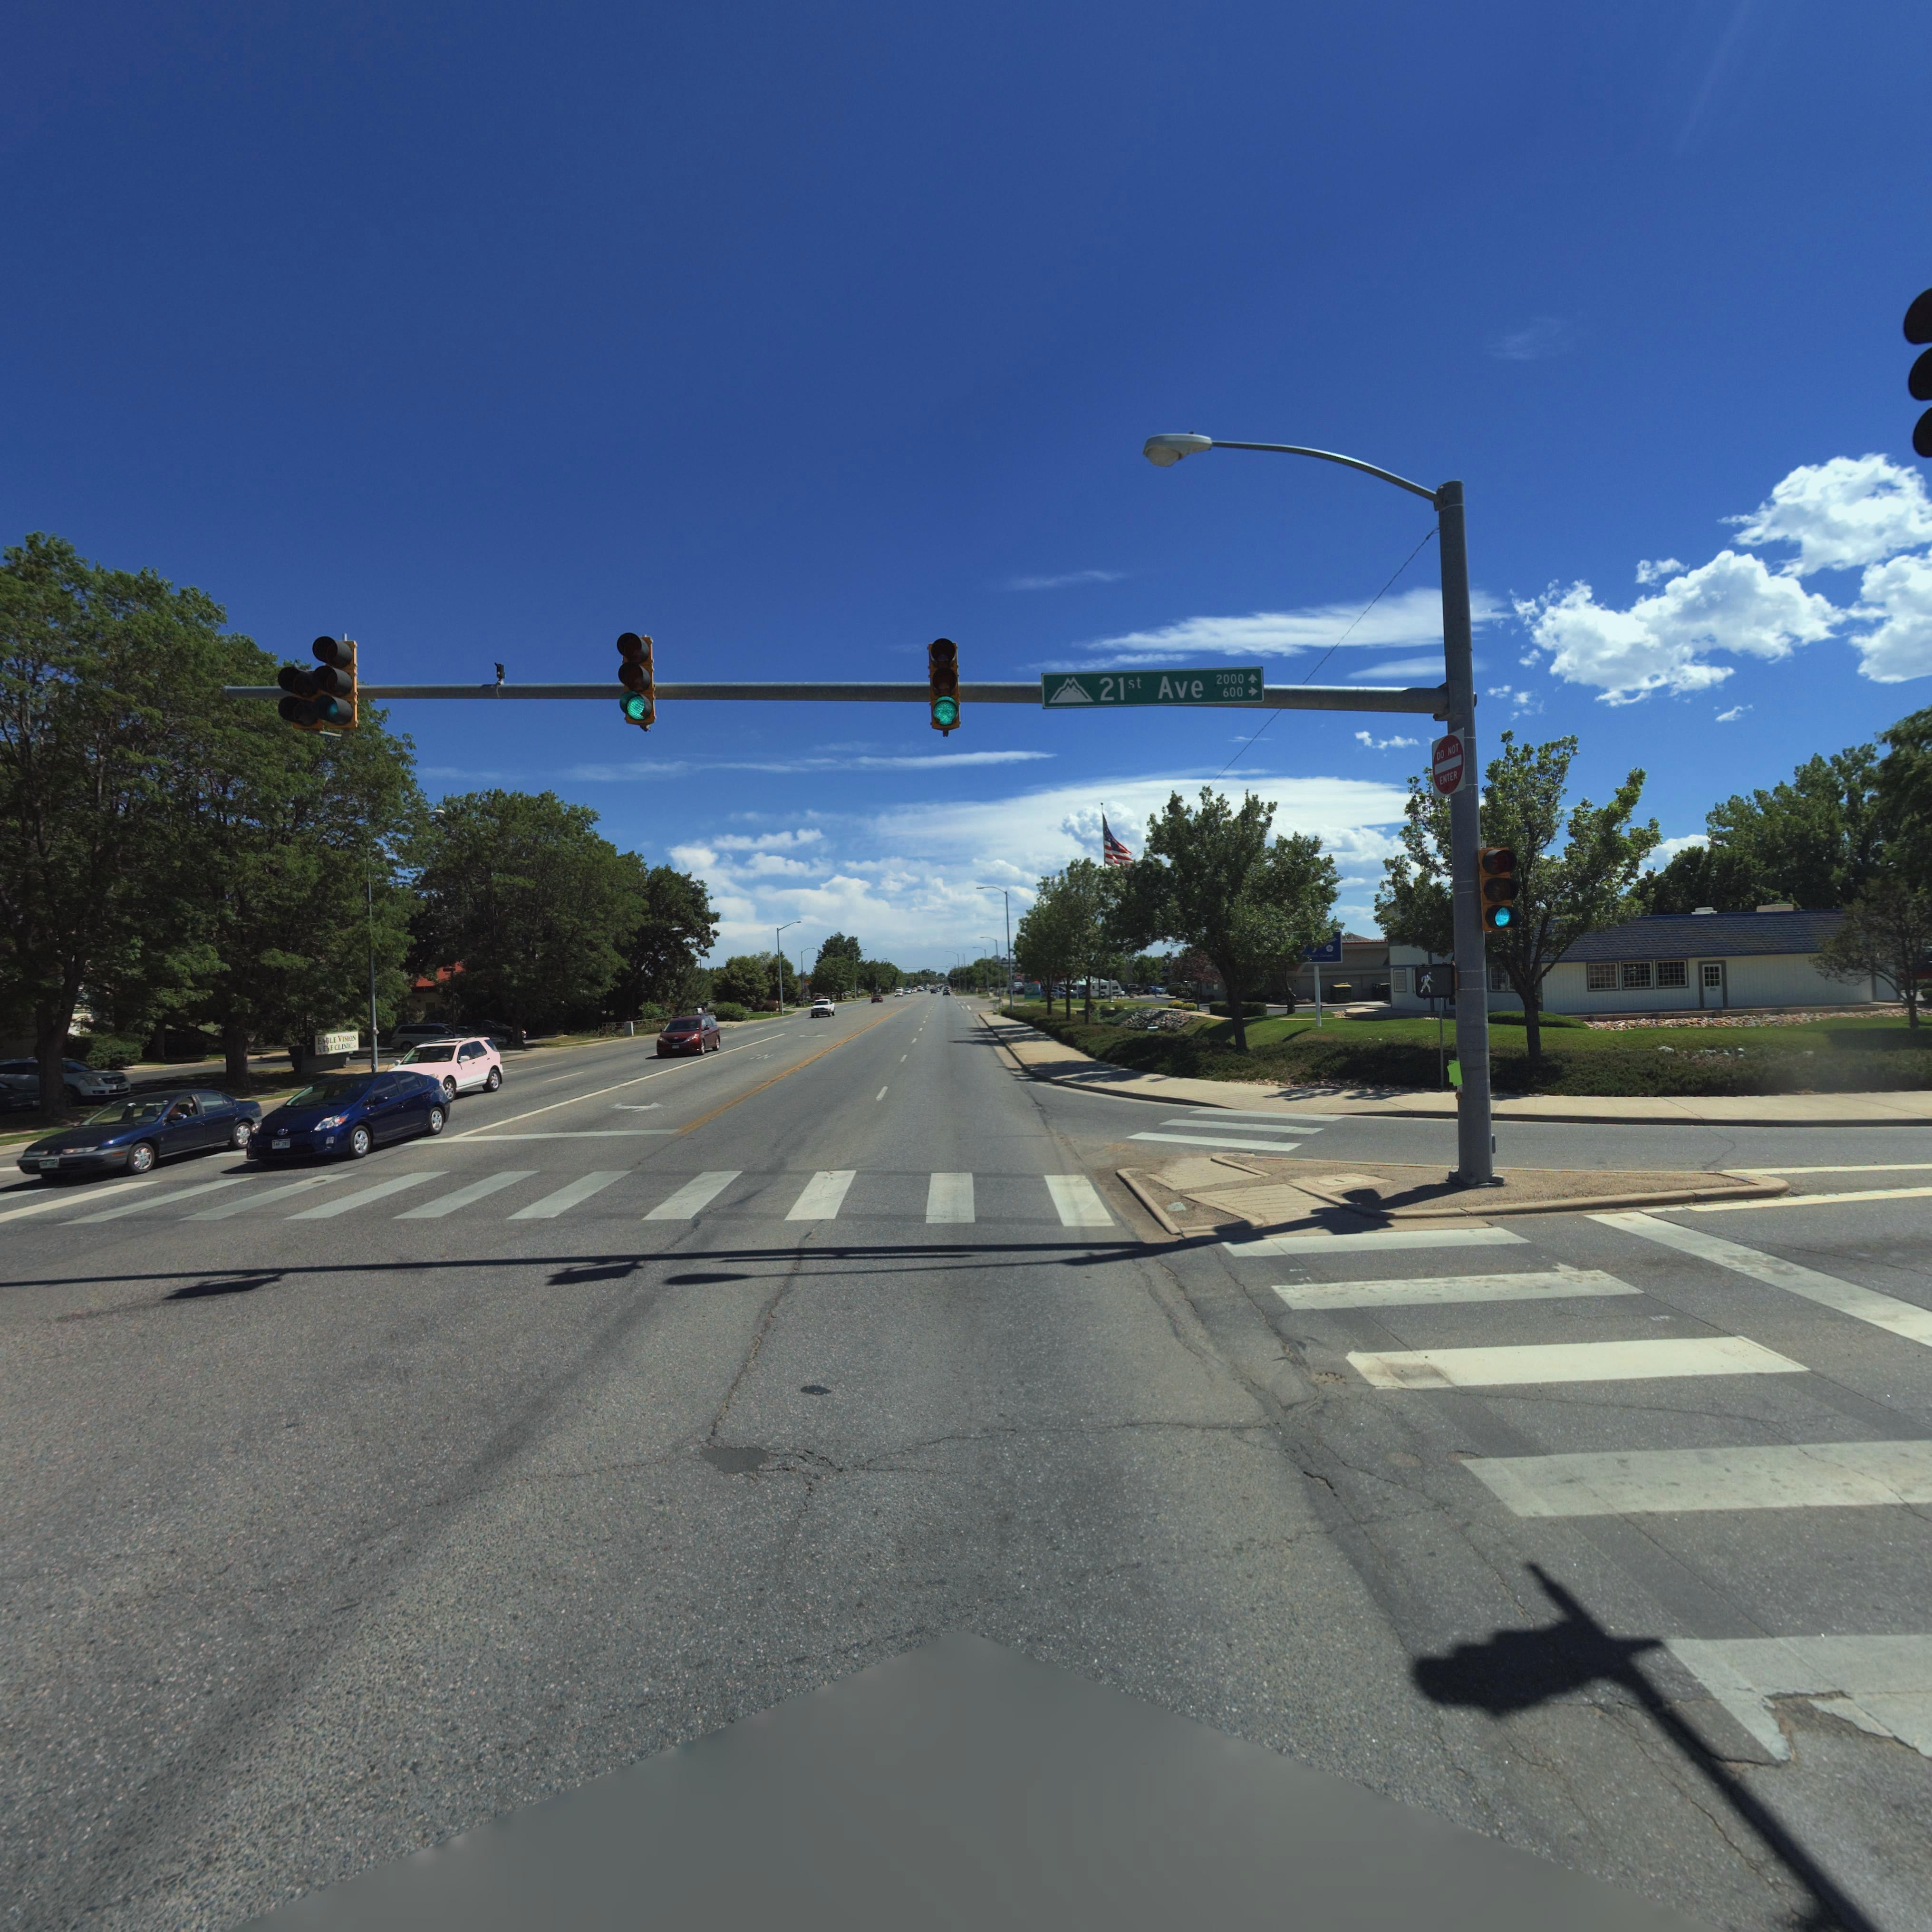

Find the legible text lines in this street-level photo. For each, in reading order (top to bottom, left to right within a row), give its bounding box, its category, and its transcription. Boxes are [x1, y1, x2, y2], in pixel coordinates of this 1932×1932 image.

[1216, 673, 1244, 685] StreetNumberRange: 2000
[1099, 675, 1204, 701] StreetName: 21st Ave
[1222, 686, 1258, 697] StreetNumberRange: 600 ->
[1332, 937, 1337, 942] BusinessName: a
[1015, 975, 1023, 979] BusinessName: DQ
[317, 1034, 357, 1045] BusinessName: EAGLE VISION
[317, 1042, 353, 1053] BusinessName: * EYE CLINIC